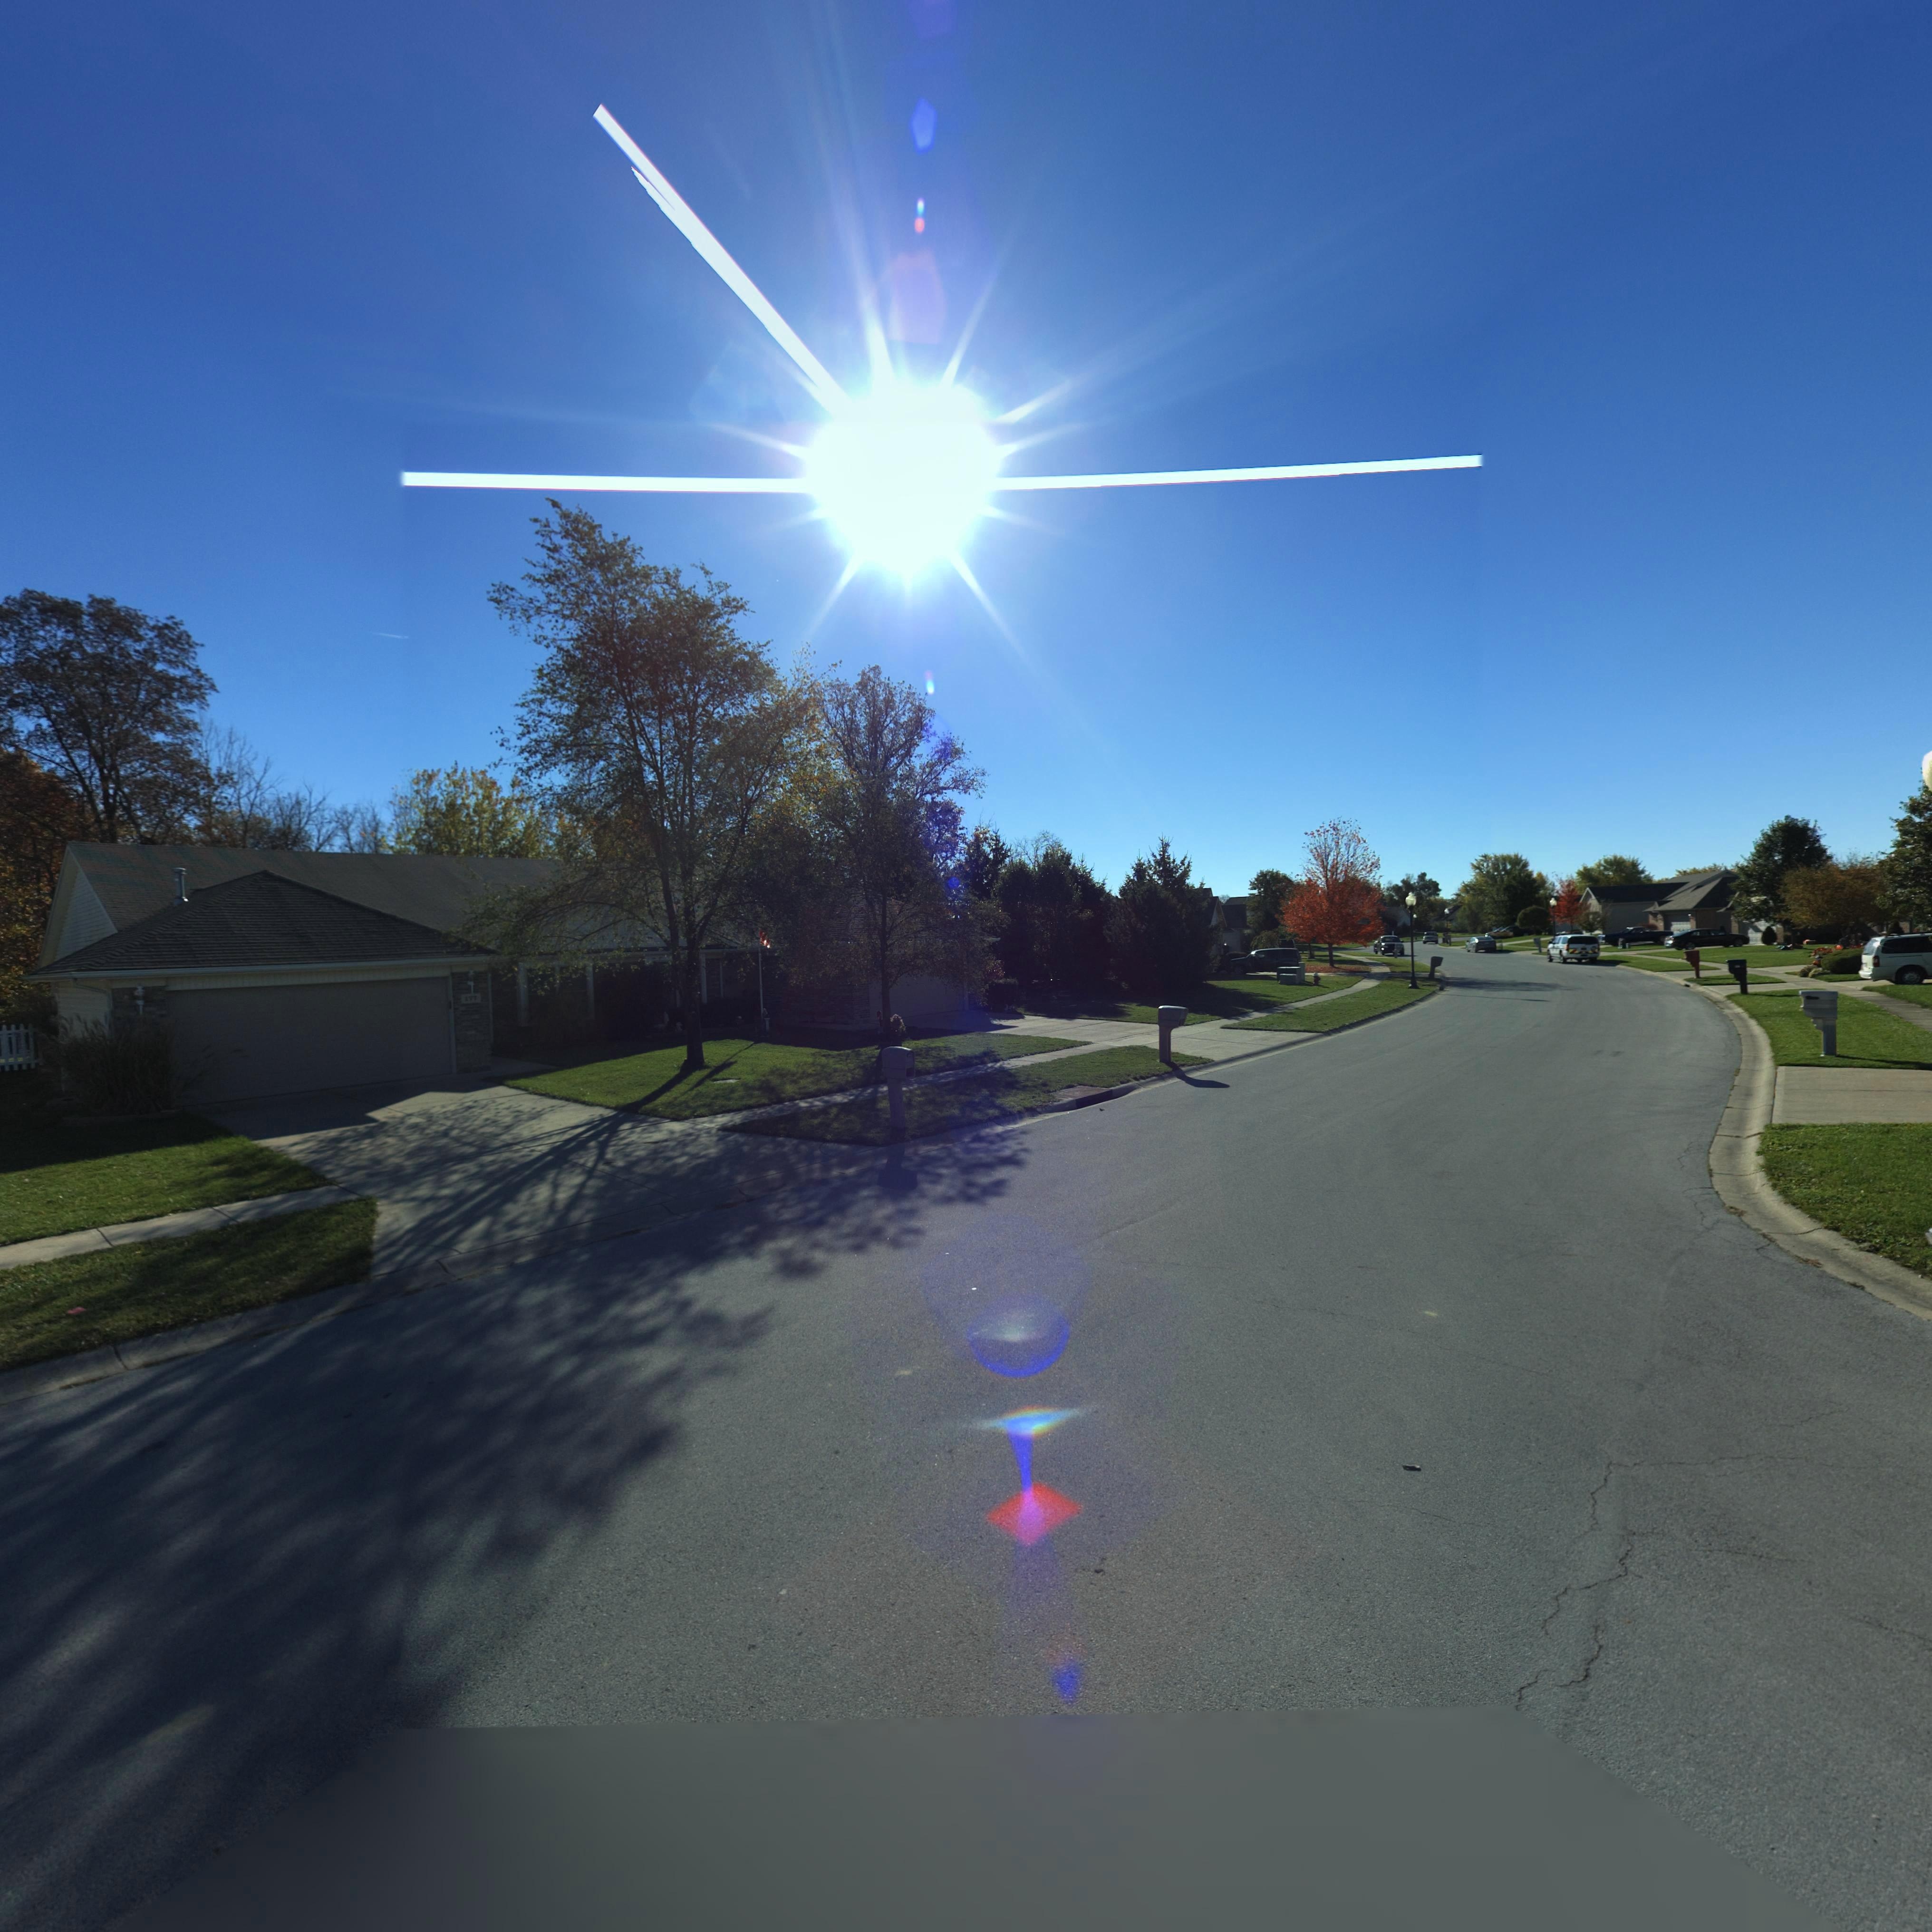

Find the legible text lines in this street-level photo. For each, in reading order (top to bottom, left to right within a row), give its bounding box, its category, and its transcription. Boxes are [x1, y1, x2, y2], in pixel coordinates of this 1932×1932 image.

[462, 993, 480, 1004] StreetNumber: 177